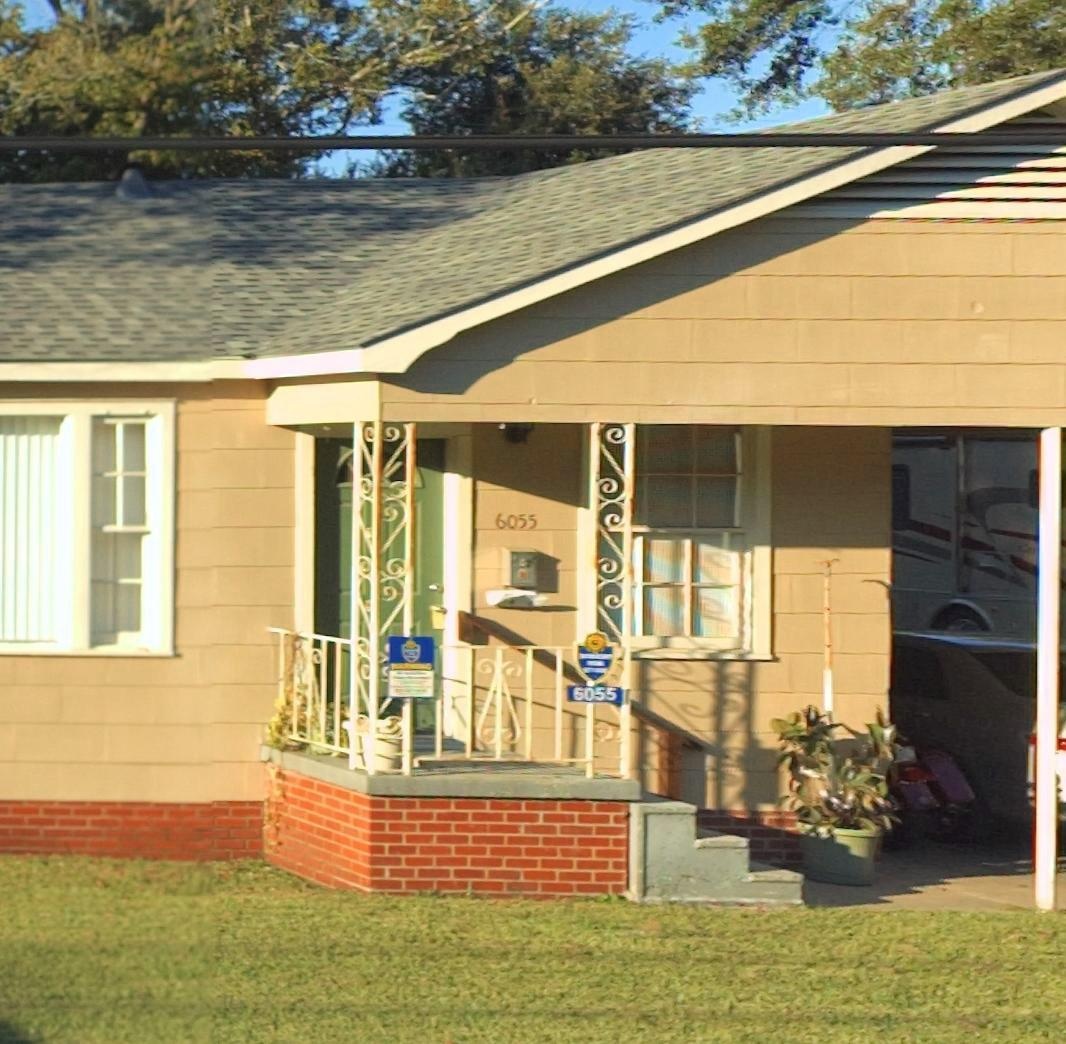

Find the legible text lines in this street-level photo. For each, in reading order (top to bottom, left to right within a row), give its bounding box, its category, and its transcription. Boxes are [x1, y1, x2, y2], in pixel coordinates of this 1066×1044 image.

[494, 512, 539, 530] StreetNumber: 6055
[572, 687, 619, 701] StreetNumber: 6055